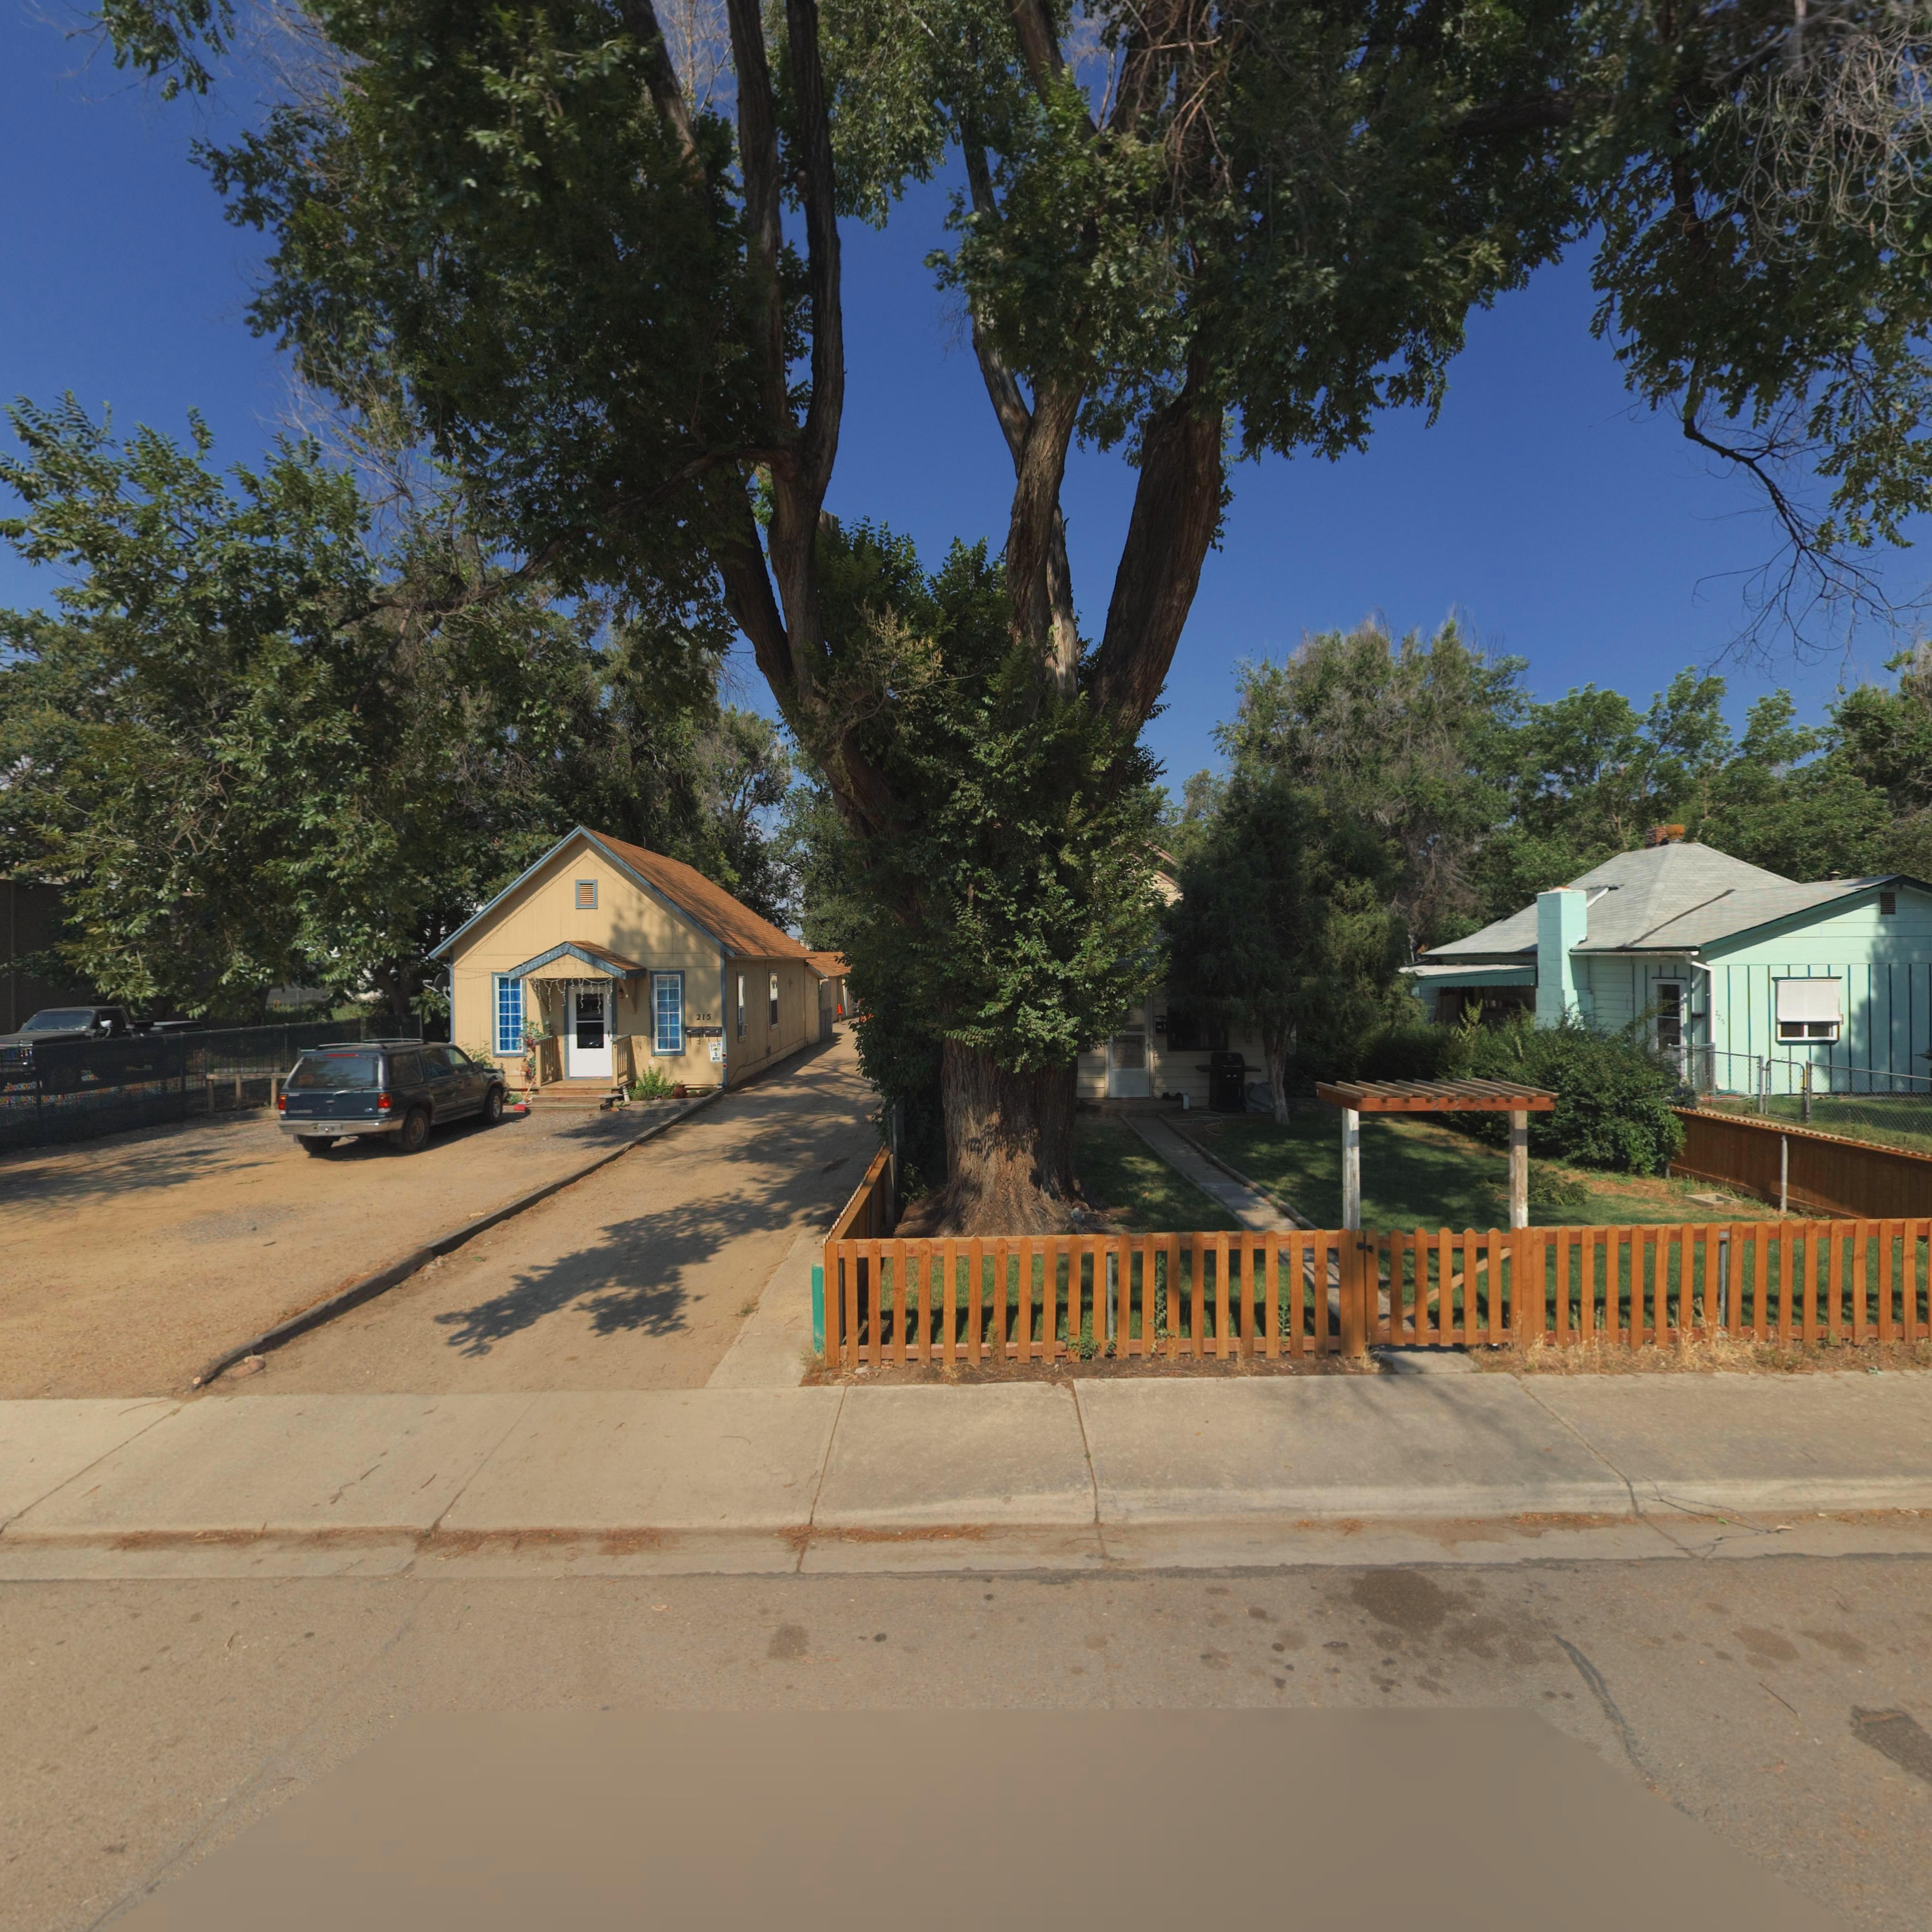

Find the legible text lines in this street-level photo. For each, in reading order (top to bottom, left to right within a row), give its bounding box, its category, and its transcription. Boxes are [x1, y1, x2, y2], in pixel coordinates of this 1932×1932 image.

[696, 1013, 711, 1021] StreetNumber: 215
[1715, 1009, 1727, 1026] StreetNumber: 2*1